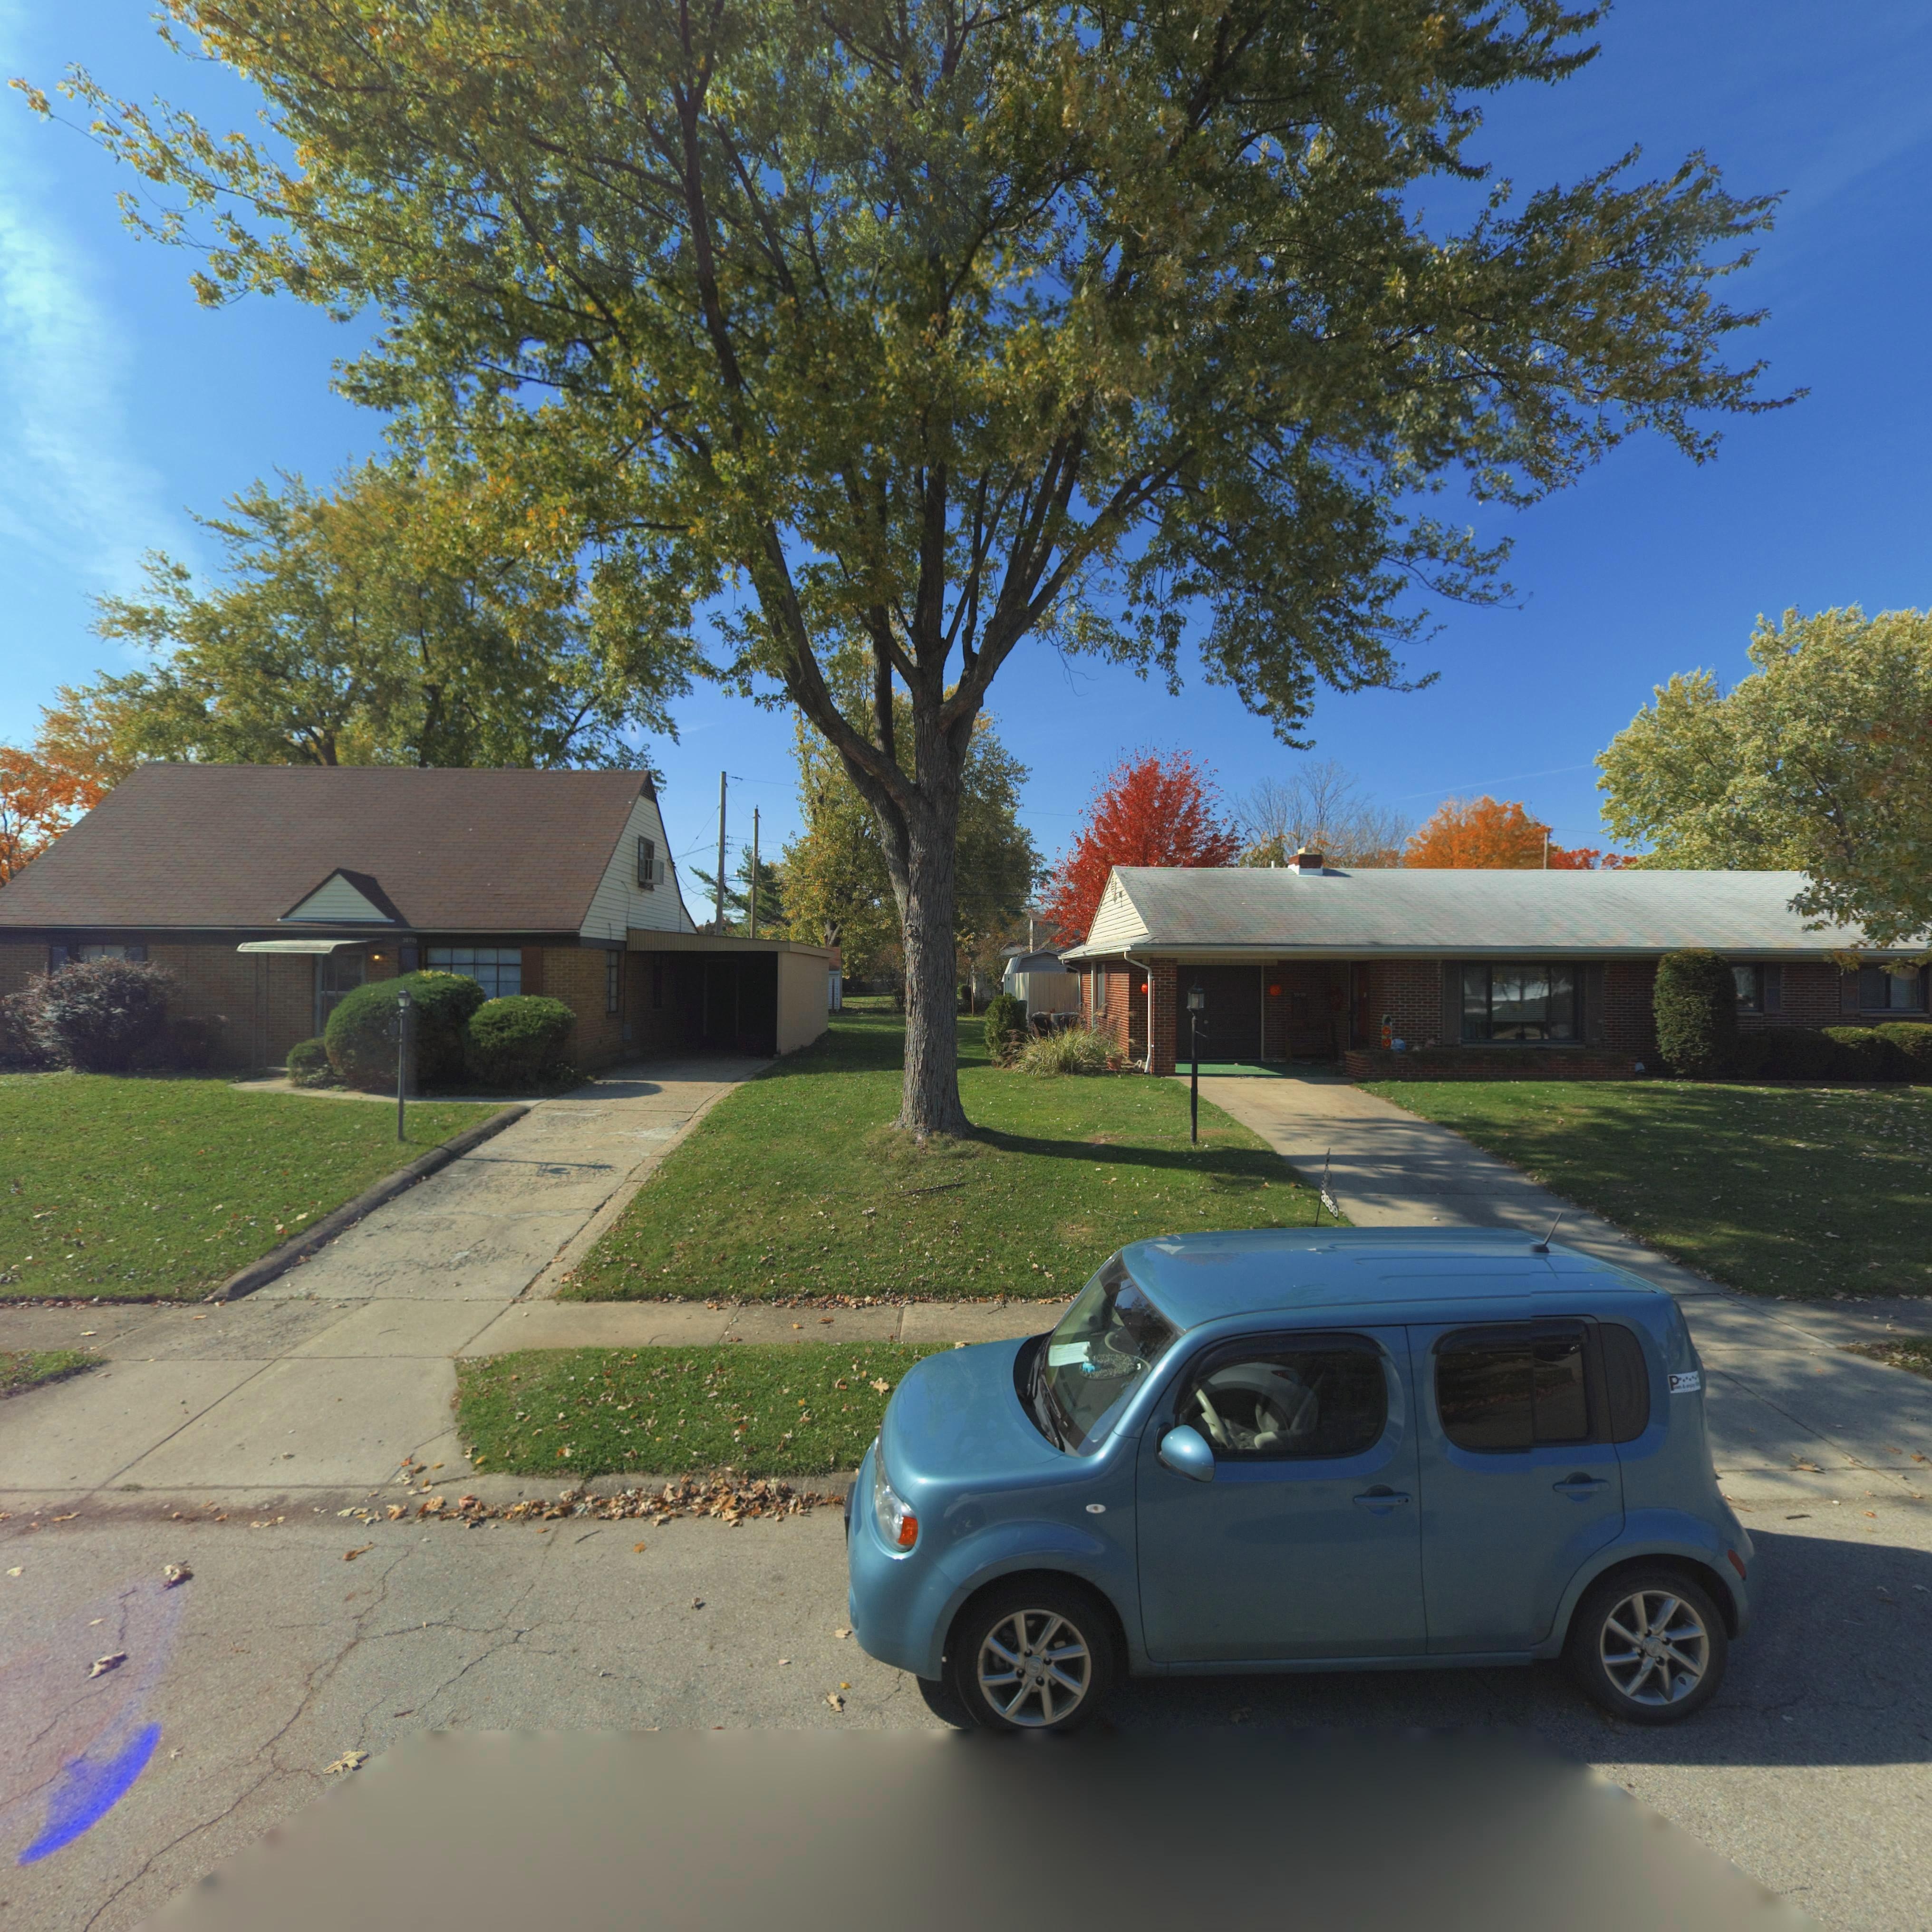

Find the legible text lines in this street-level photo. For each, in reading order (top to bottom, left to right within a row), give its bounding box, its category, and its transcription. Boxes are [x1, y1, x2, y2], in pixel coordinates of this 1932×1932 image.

[1668, 1374, 1680, 1391] None: P